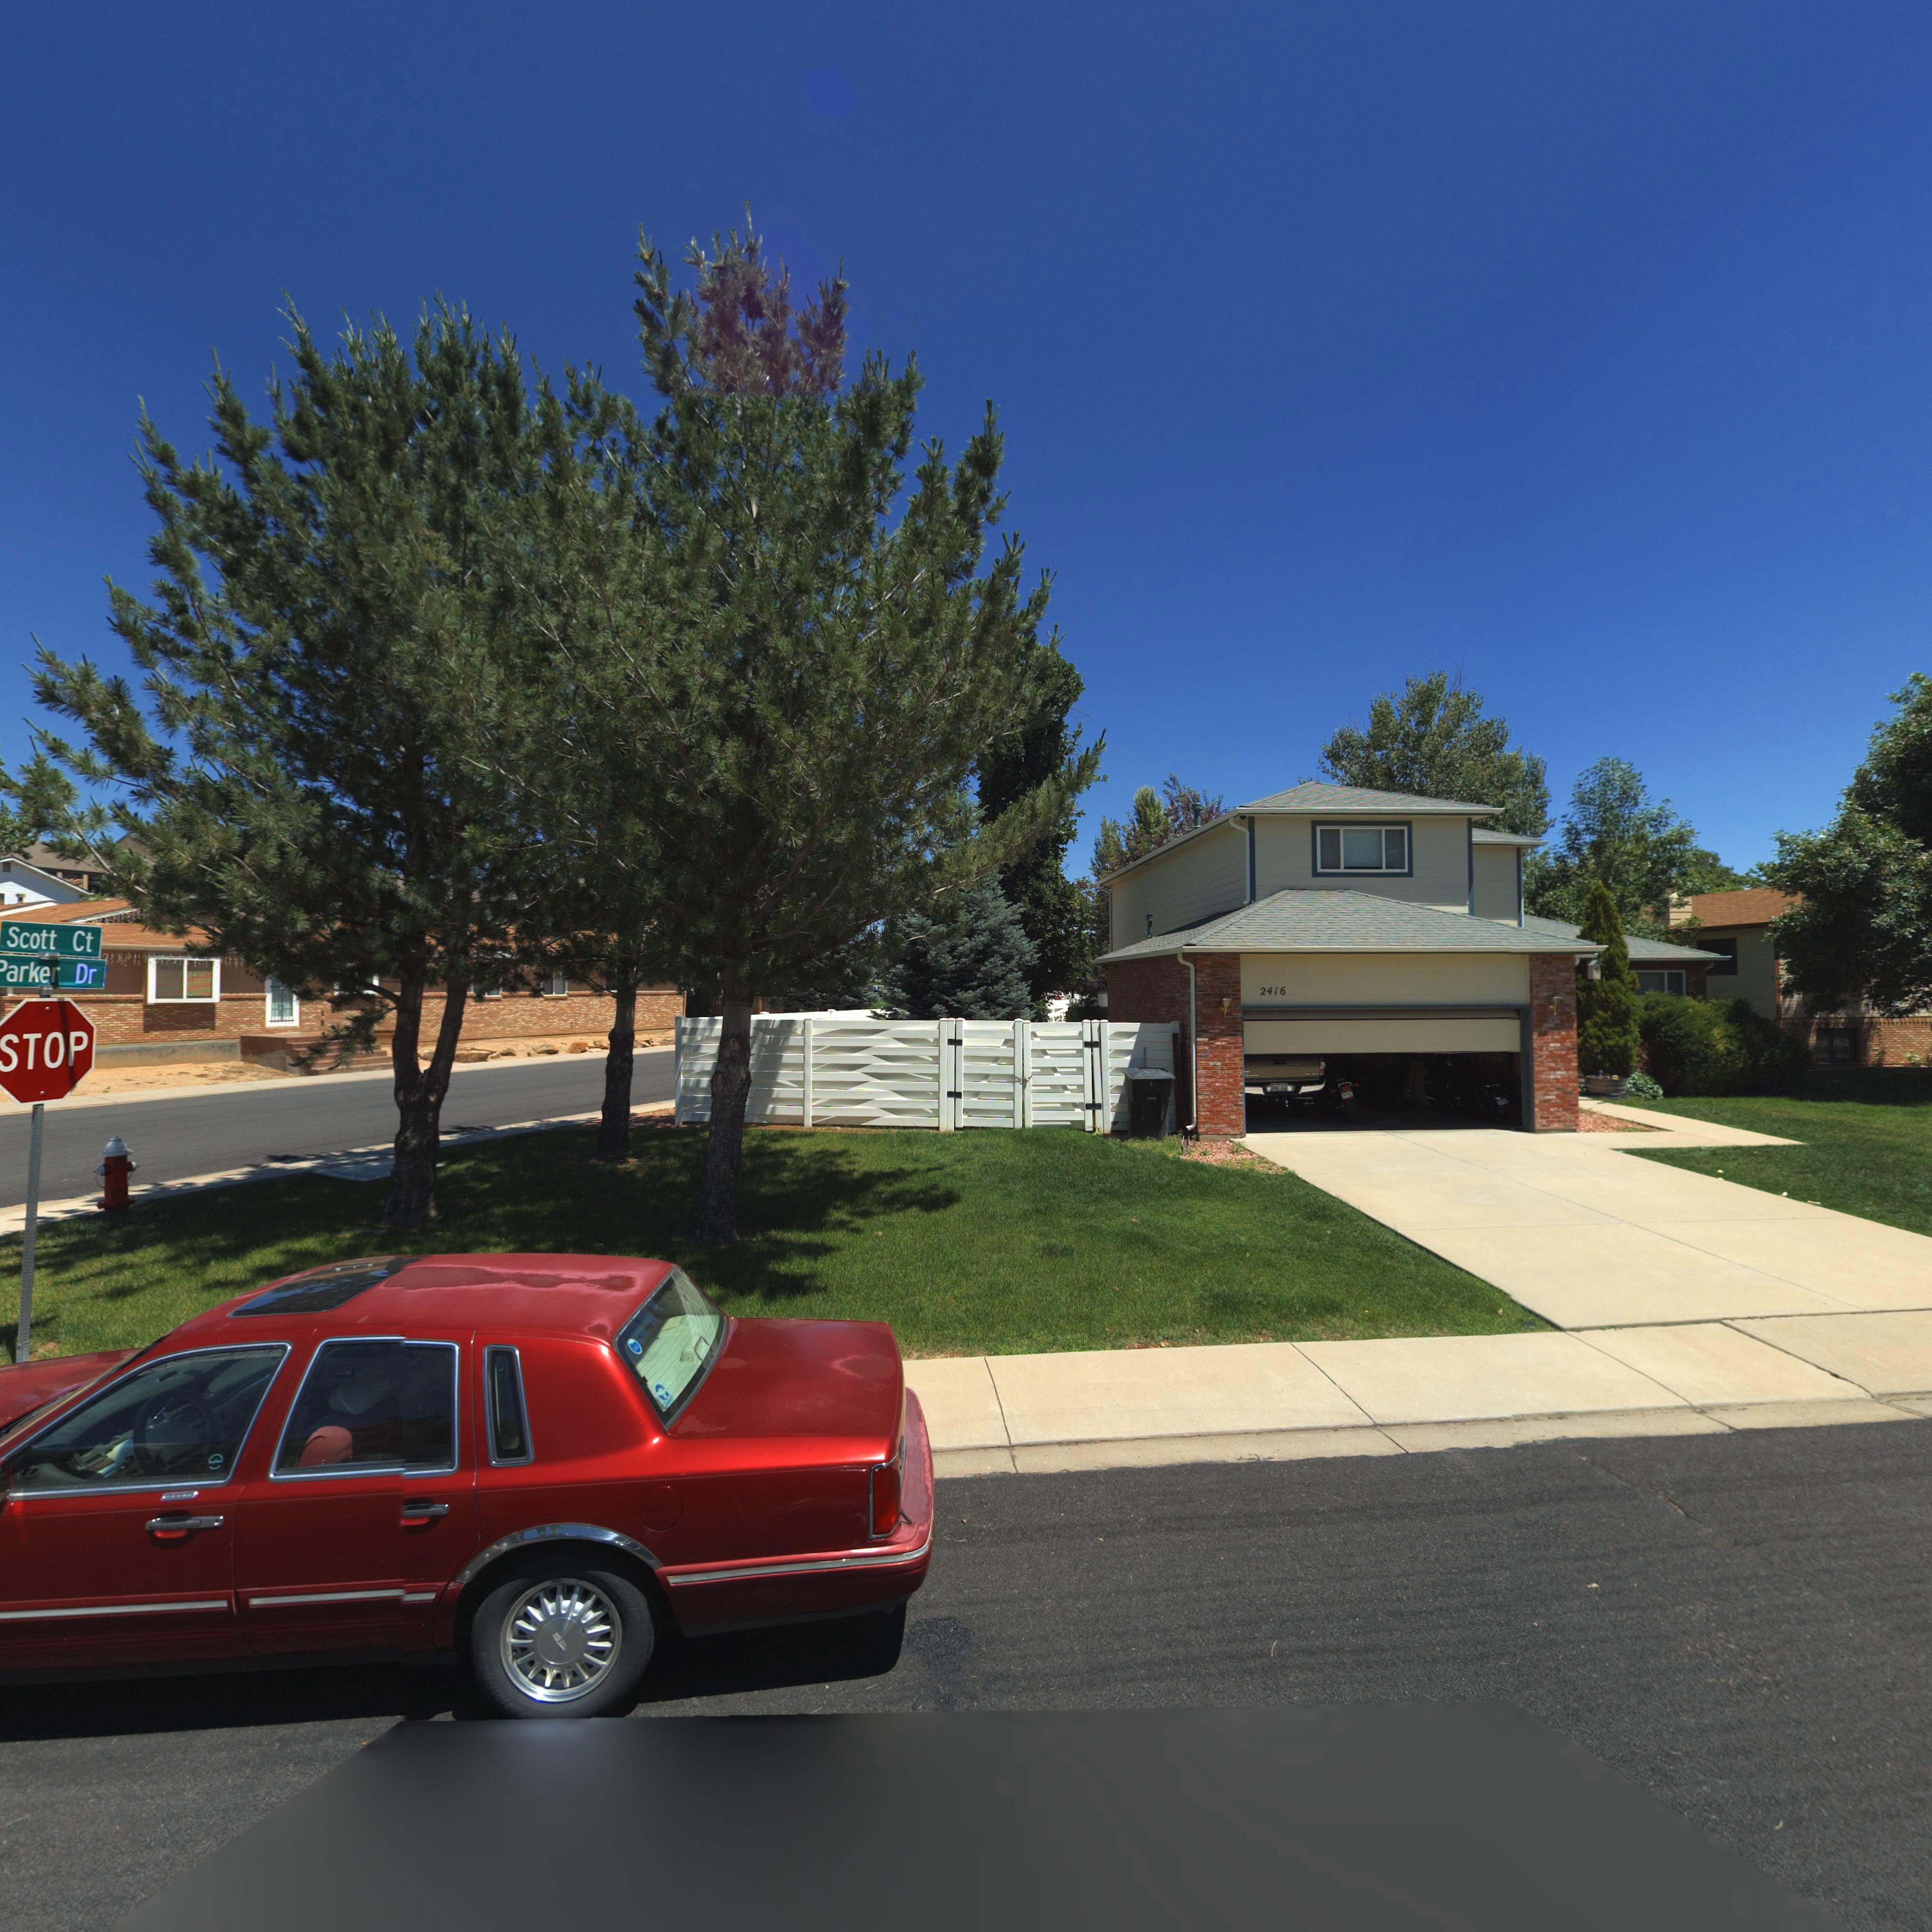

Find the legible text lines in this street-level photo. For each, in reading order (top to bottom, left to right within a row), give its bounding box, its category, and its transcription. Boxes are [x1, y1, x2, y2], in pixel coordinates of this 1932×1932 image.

[6, 926, 94, 953] StreetName: Scott Ct
[5, 961, 97, 985] StreetName: arker Dr
[1260, 986, 1285, 995] StreetNumber: 2416